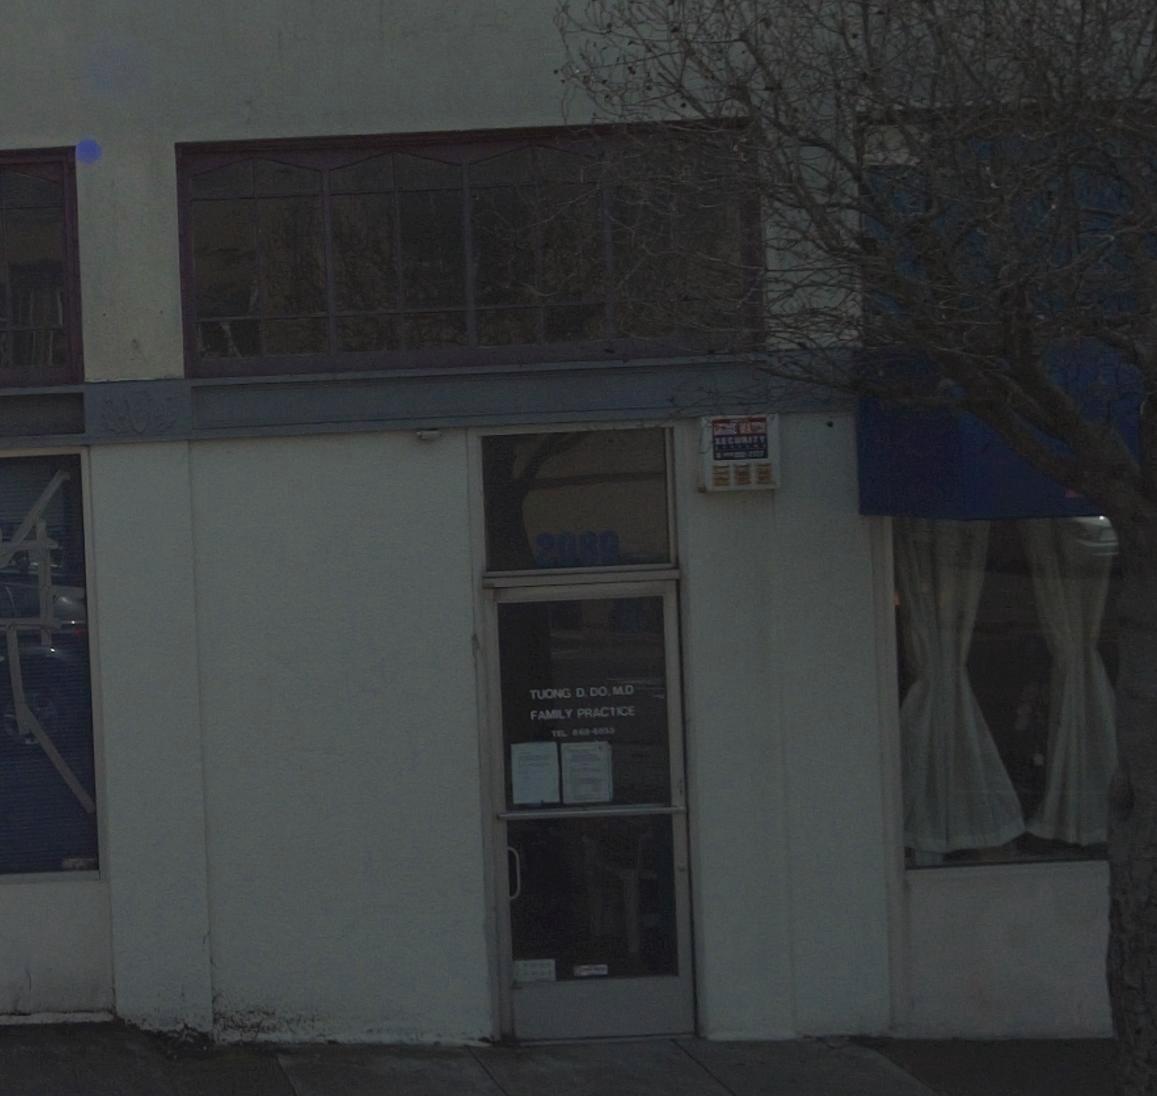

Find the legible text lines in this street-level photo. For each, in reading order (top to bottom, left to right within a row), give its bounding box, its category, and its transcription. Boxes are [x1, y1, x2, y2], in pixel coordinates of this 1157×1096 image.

[533, 528, 623, 569] StreetNumber: 2089
[528, 683, 636, 701] None: TUONG D. DO. M.D
[529, 703, 637, 722] None: FA**LY PRACTICE